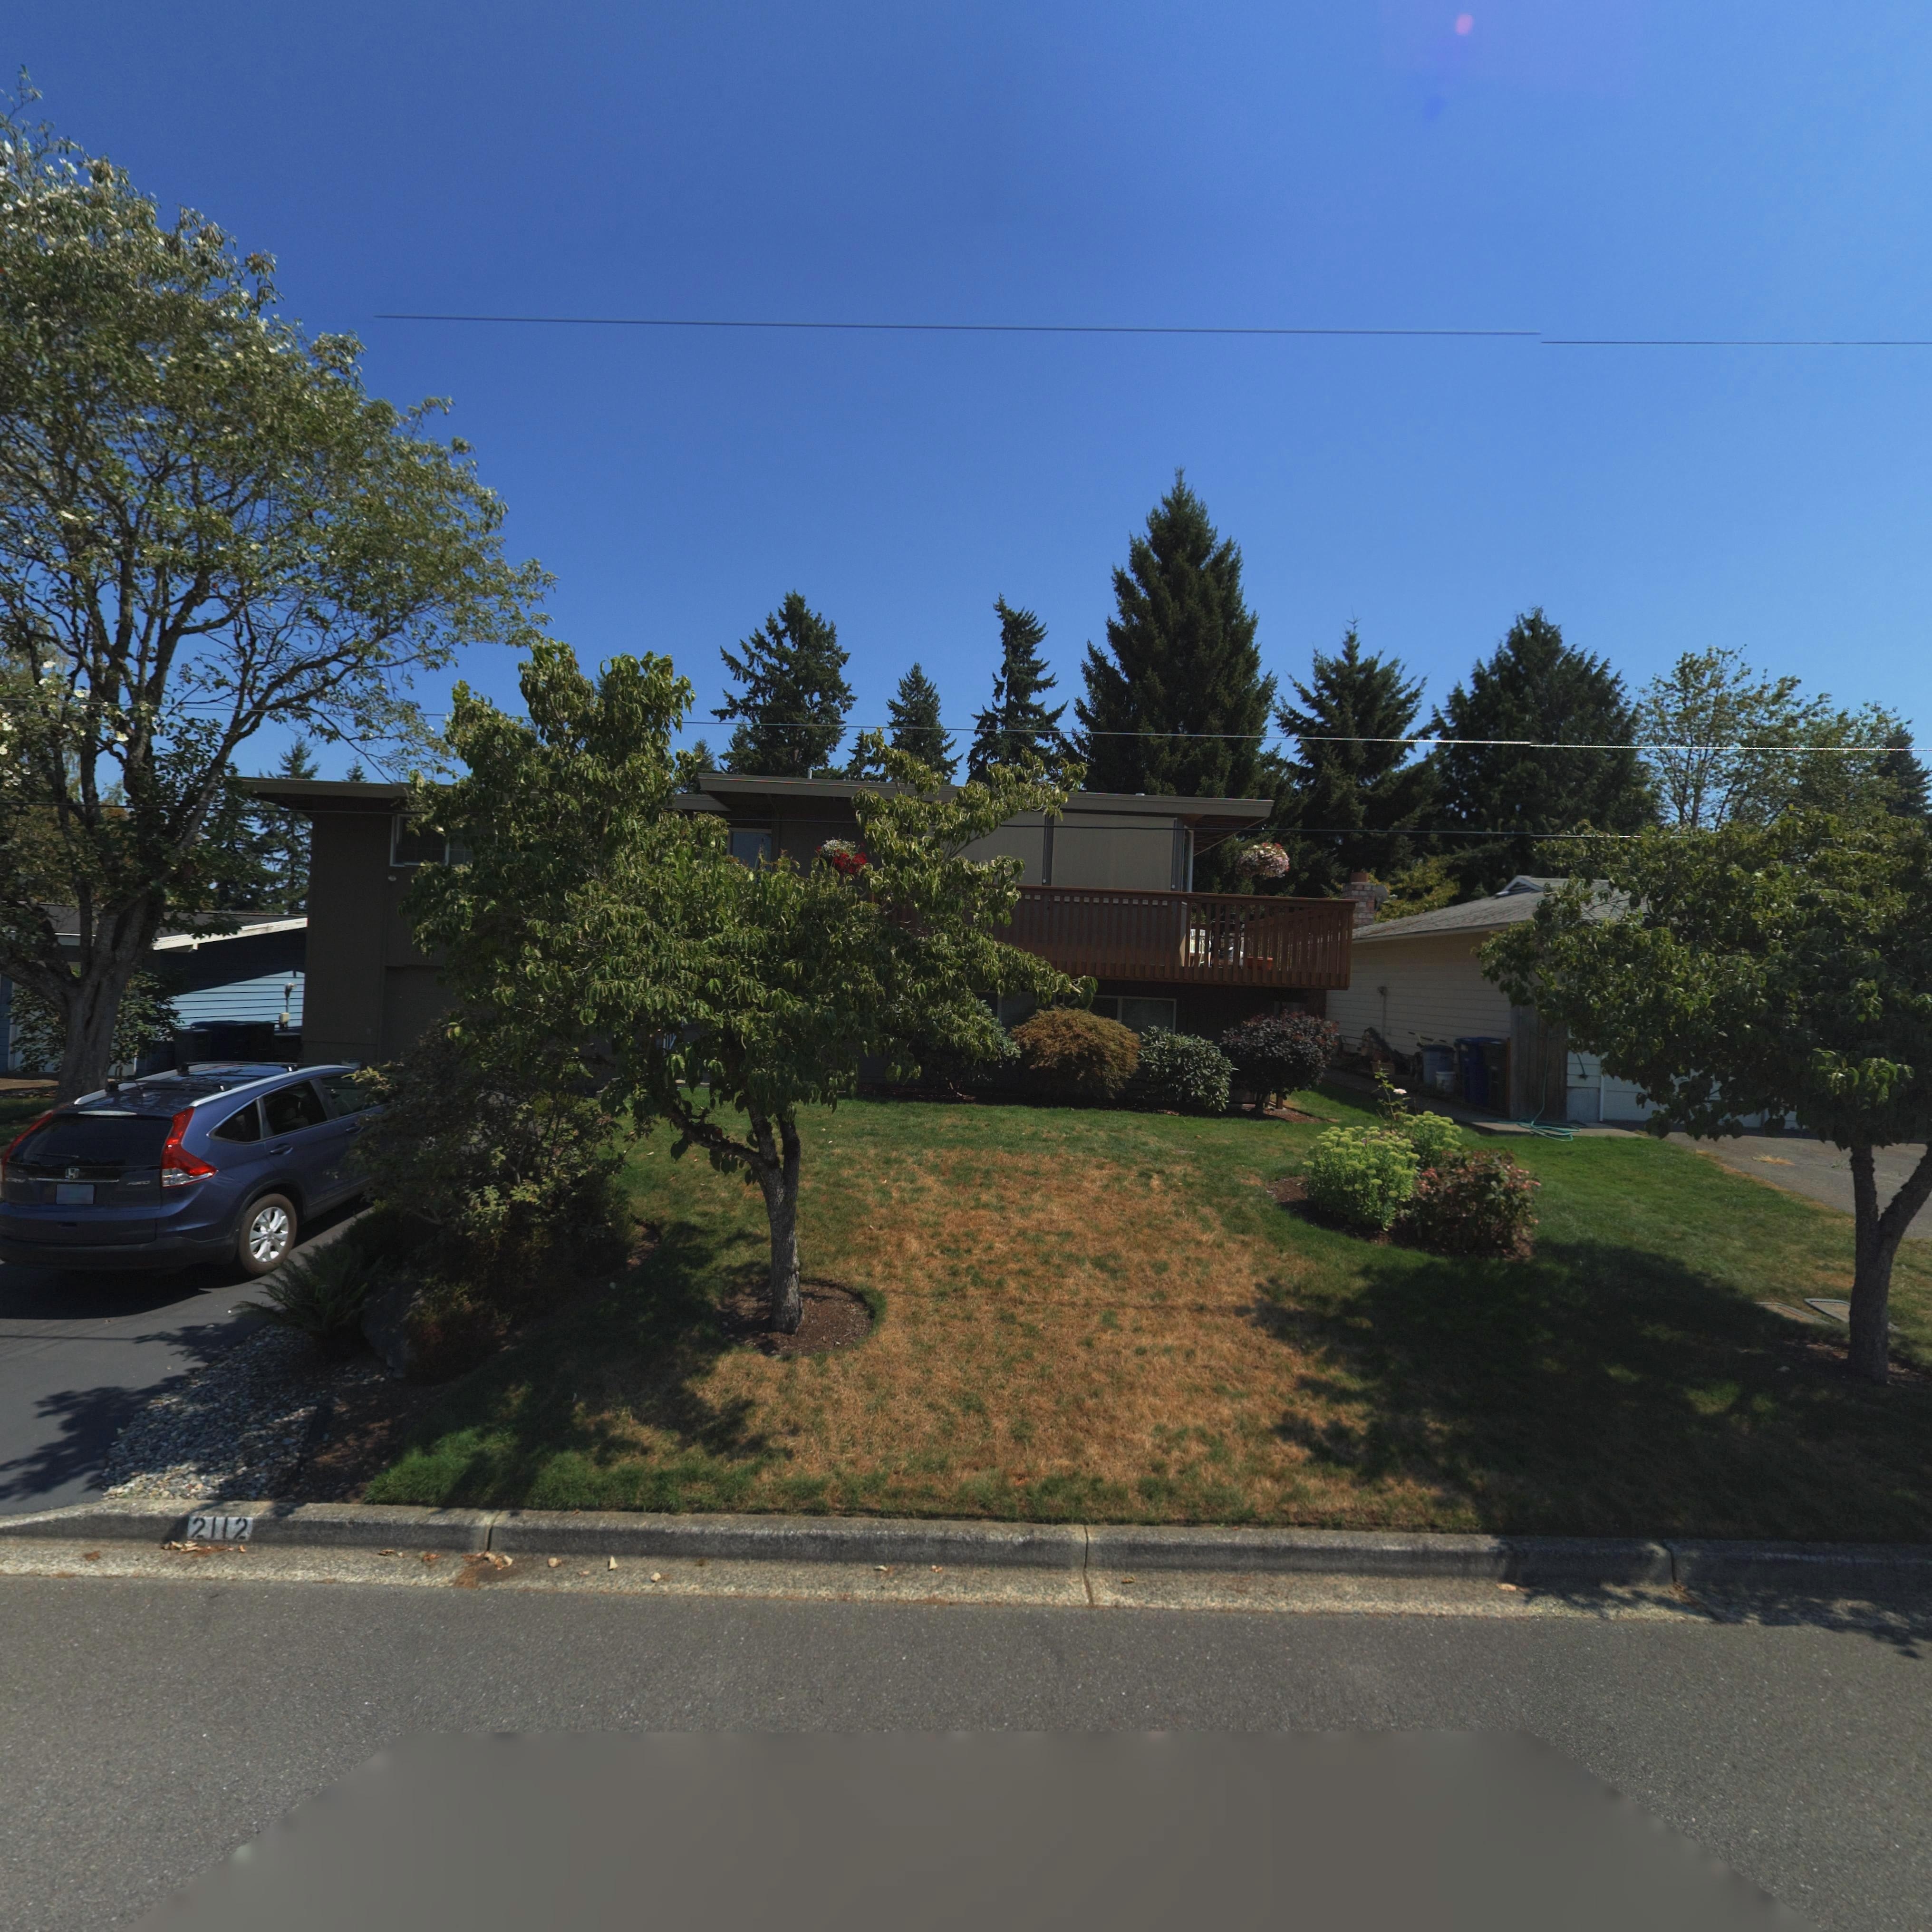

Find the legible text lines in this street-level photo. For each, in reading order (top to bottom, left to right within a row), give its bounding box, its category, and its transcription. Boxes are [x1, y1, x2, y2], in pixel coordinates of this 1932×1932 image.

[187, 1516, 249, 1543] StreetNumber: 2112